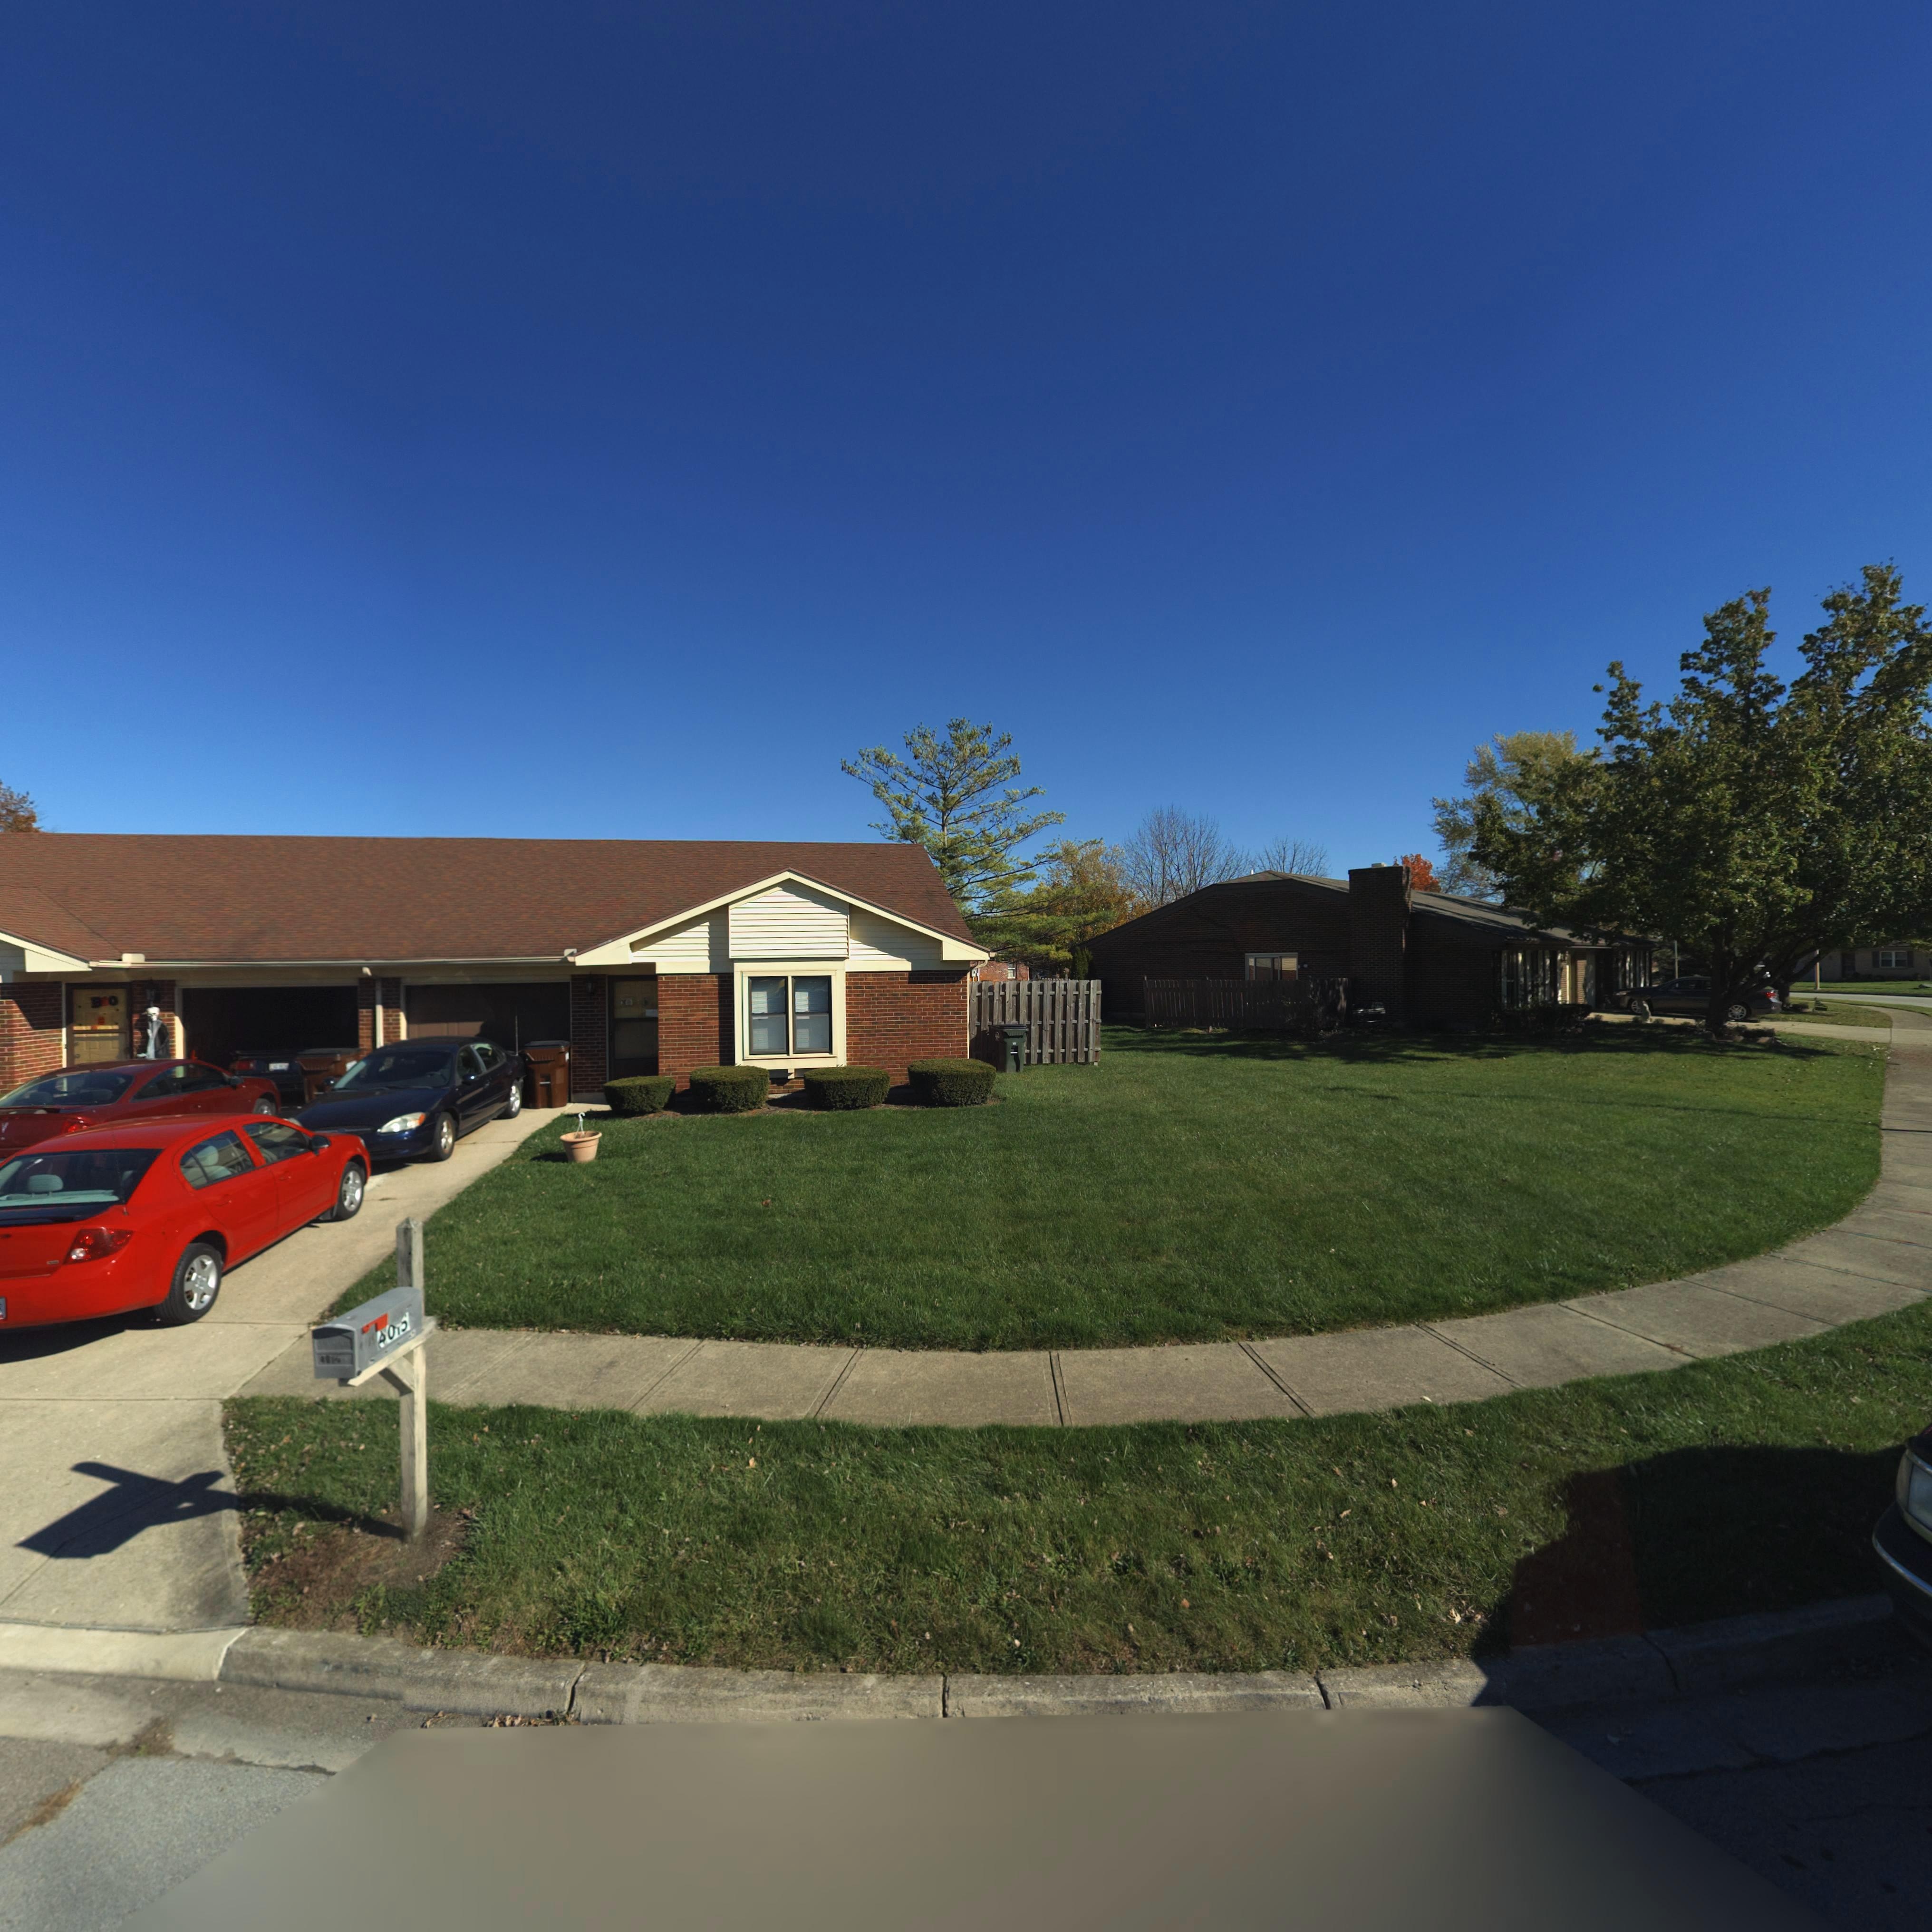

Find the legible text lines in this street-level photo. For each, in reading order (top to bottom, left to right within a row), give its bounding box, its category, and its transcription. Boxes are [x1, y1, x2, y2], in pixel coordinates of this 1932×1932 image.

[377, 1312, 408, 1346] StreetNumber: 40**
[319, 1355, 341, 1365] StreetNumber: 401*